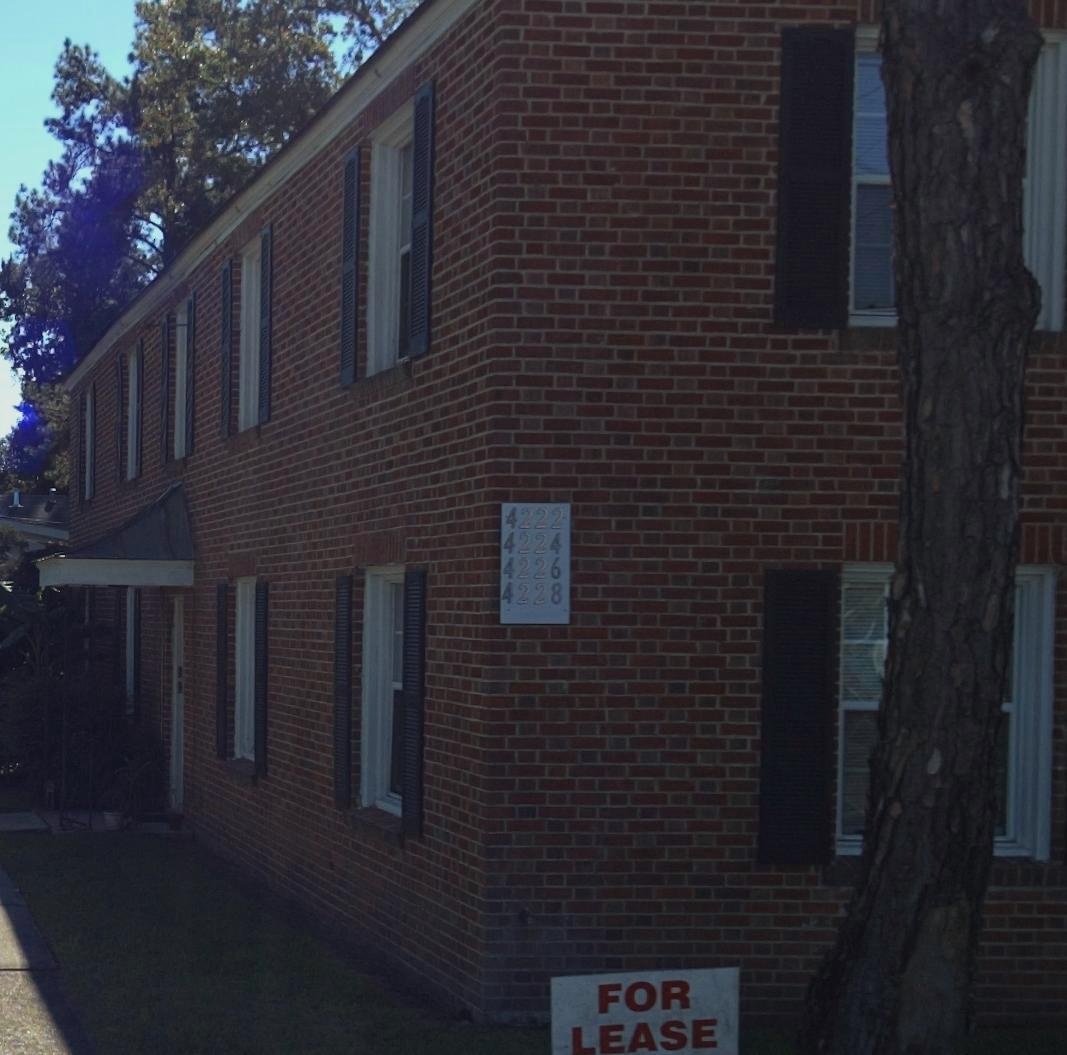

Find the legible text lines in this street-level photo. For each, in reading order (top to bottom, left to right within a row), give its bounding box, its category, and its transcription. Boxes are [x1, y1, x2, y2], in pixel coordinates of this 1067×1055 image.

[503, 504, 566, 531] StreetNumber: 4222
[500, 530, 565, 556] StreetNumber: 4224
[500, 554, 564, 581] StreetNumber: 4226
[498, 578, 566, 608] StreetNumber: 4228
[595, 977, 694, 1018] None: FOR
[570, 1015, 721, 1055] None: LEASE